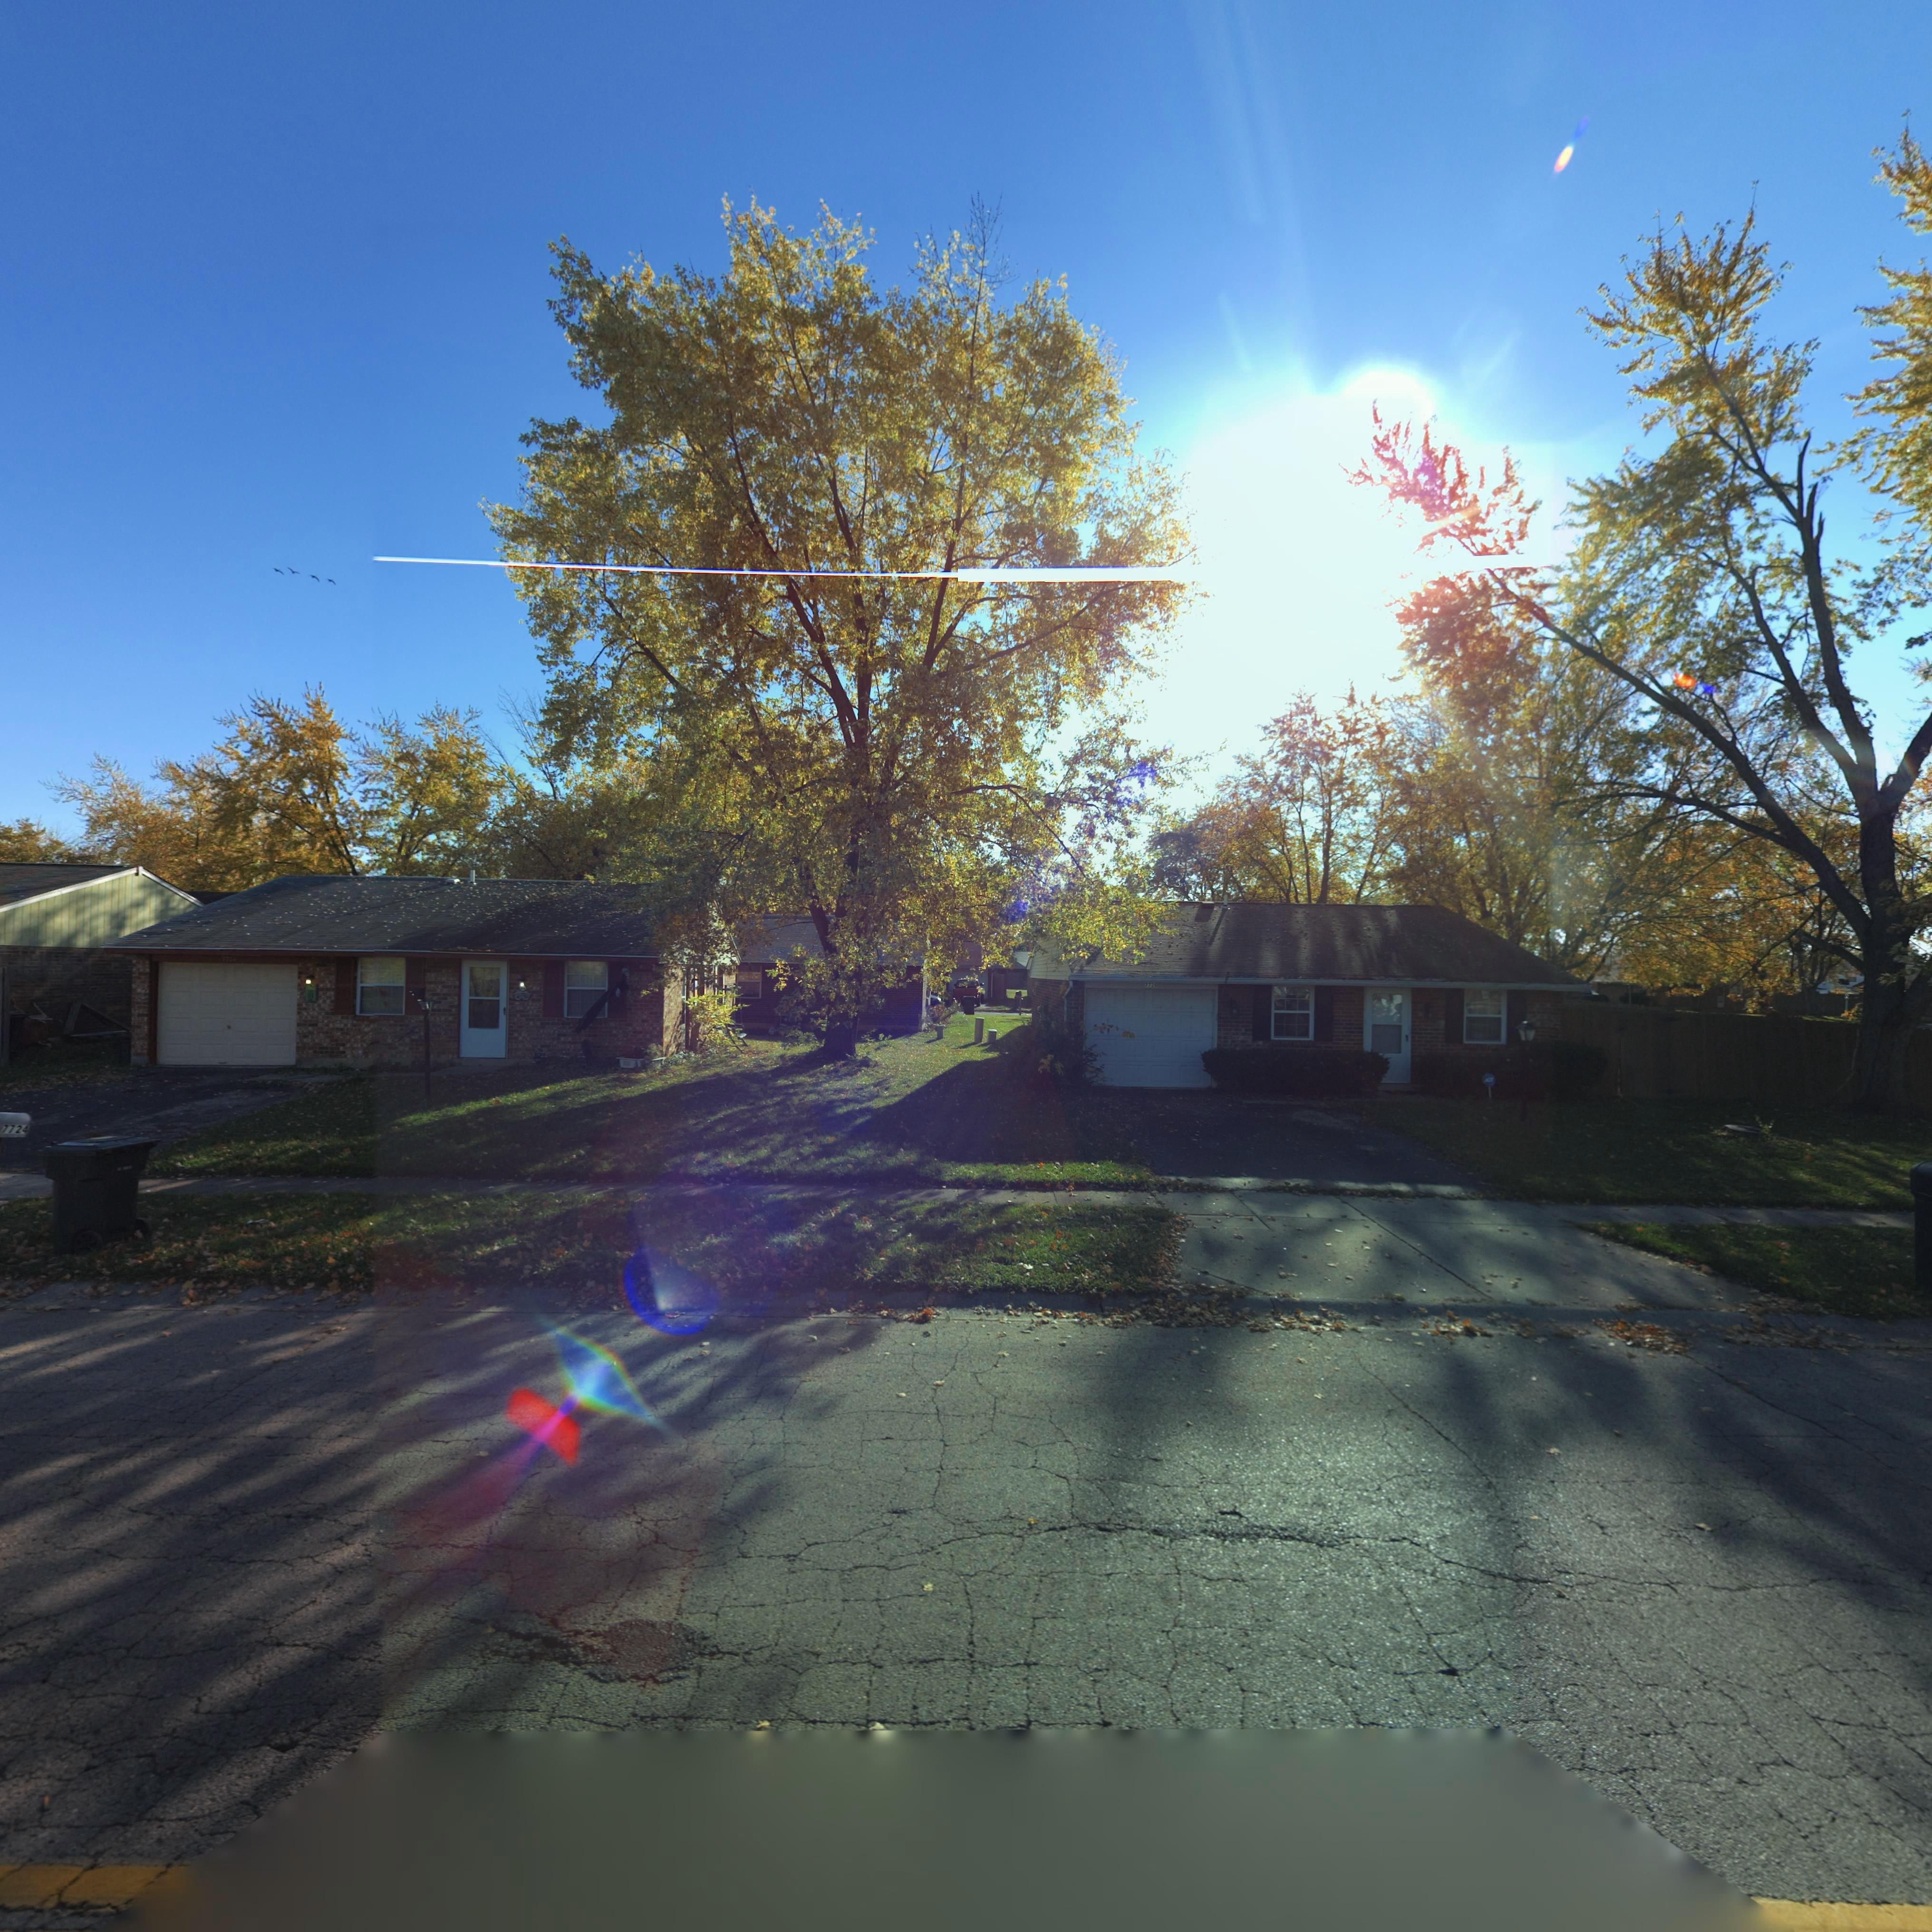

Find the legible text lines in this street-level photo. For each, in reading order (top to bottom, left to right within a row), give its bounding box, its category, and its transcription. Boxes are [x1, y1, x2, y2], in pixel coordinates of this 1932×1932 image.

[220, 955, 238, 964] StreetNumber: 7***
[1144, 982, 1158, 988] StreetNumber: 7720
[0, 1124, 29, 1134] StreetNumber: 7724